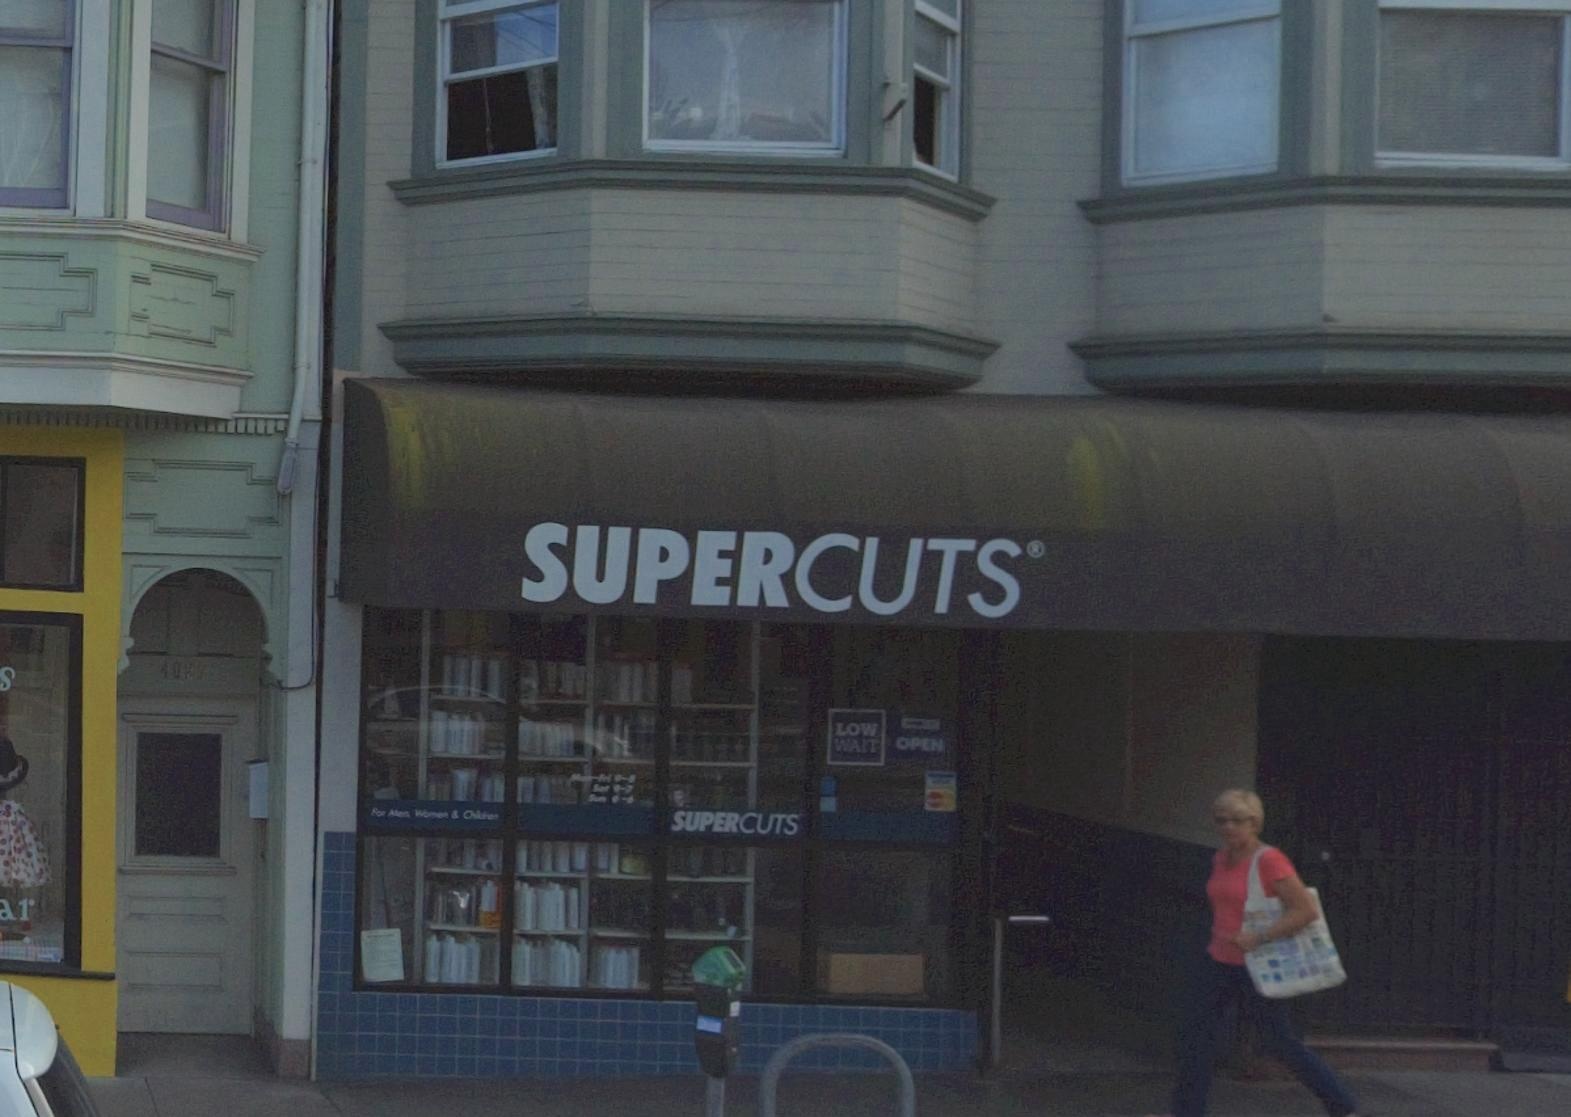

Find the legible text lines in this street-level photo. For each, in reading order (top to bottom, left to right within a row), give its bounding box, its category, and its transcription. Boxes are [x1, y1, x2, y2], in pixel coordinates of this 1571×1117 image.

[519, 521, 1025, 620] BusinessName: SUPERCUTS
[158, 659, 182, 680] StreetNumber: 40
[834, 721, 879, 737] None: LOW
[834, 737, 879, 754] None: WAIT
[895, 735, 944, 753] None: OPEN
[371, 806, 500, 822] None: For Men Women & Children
[671, 810, 801, 837] BusinessName: SUPERCUTS